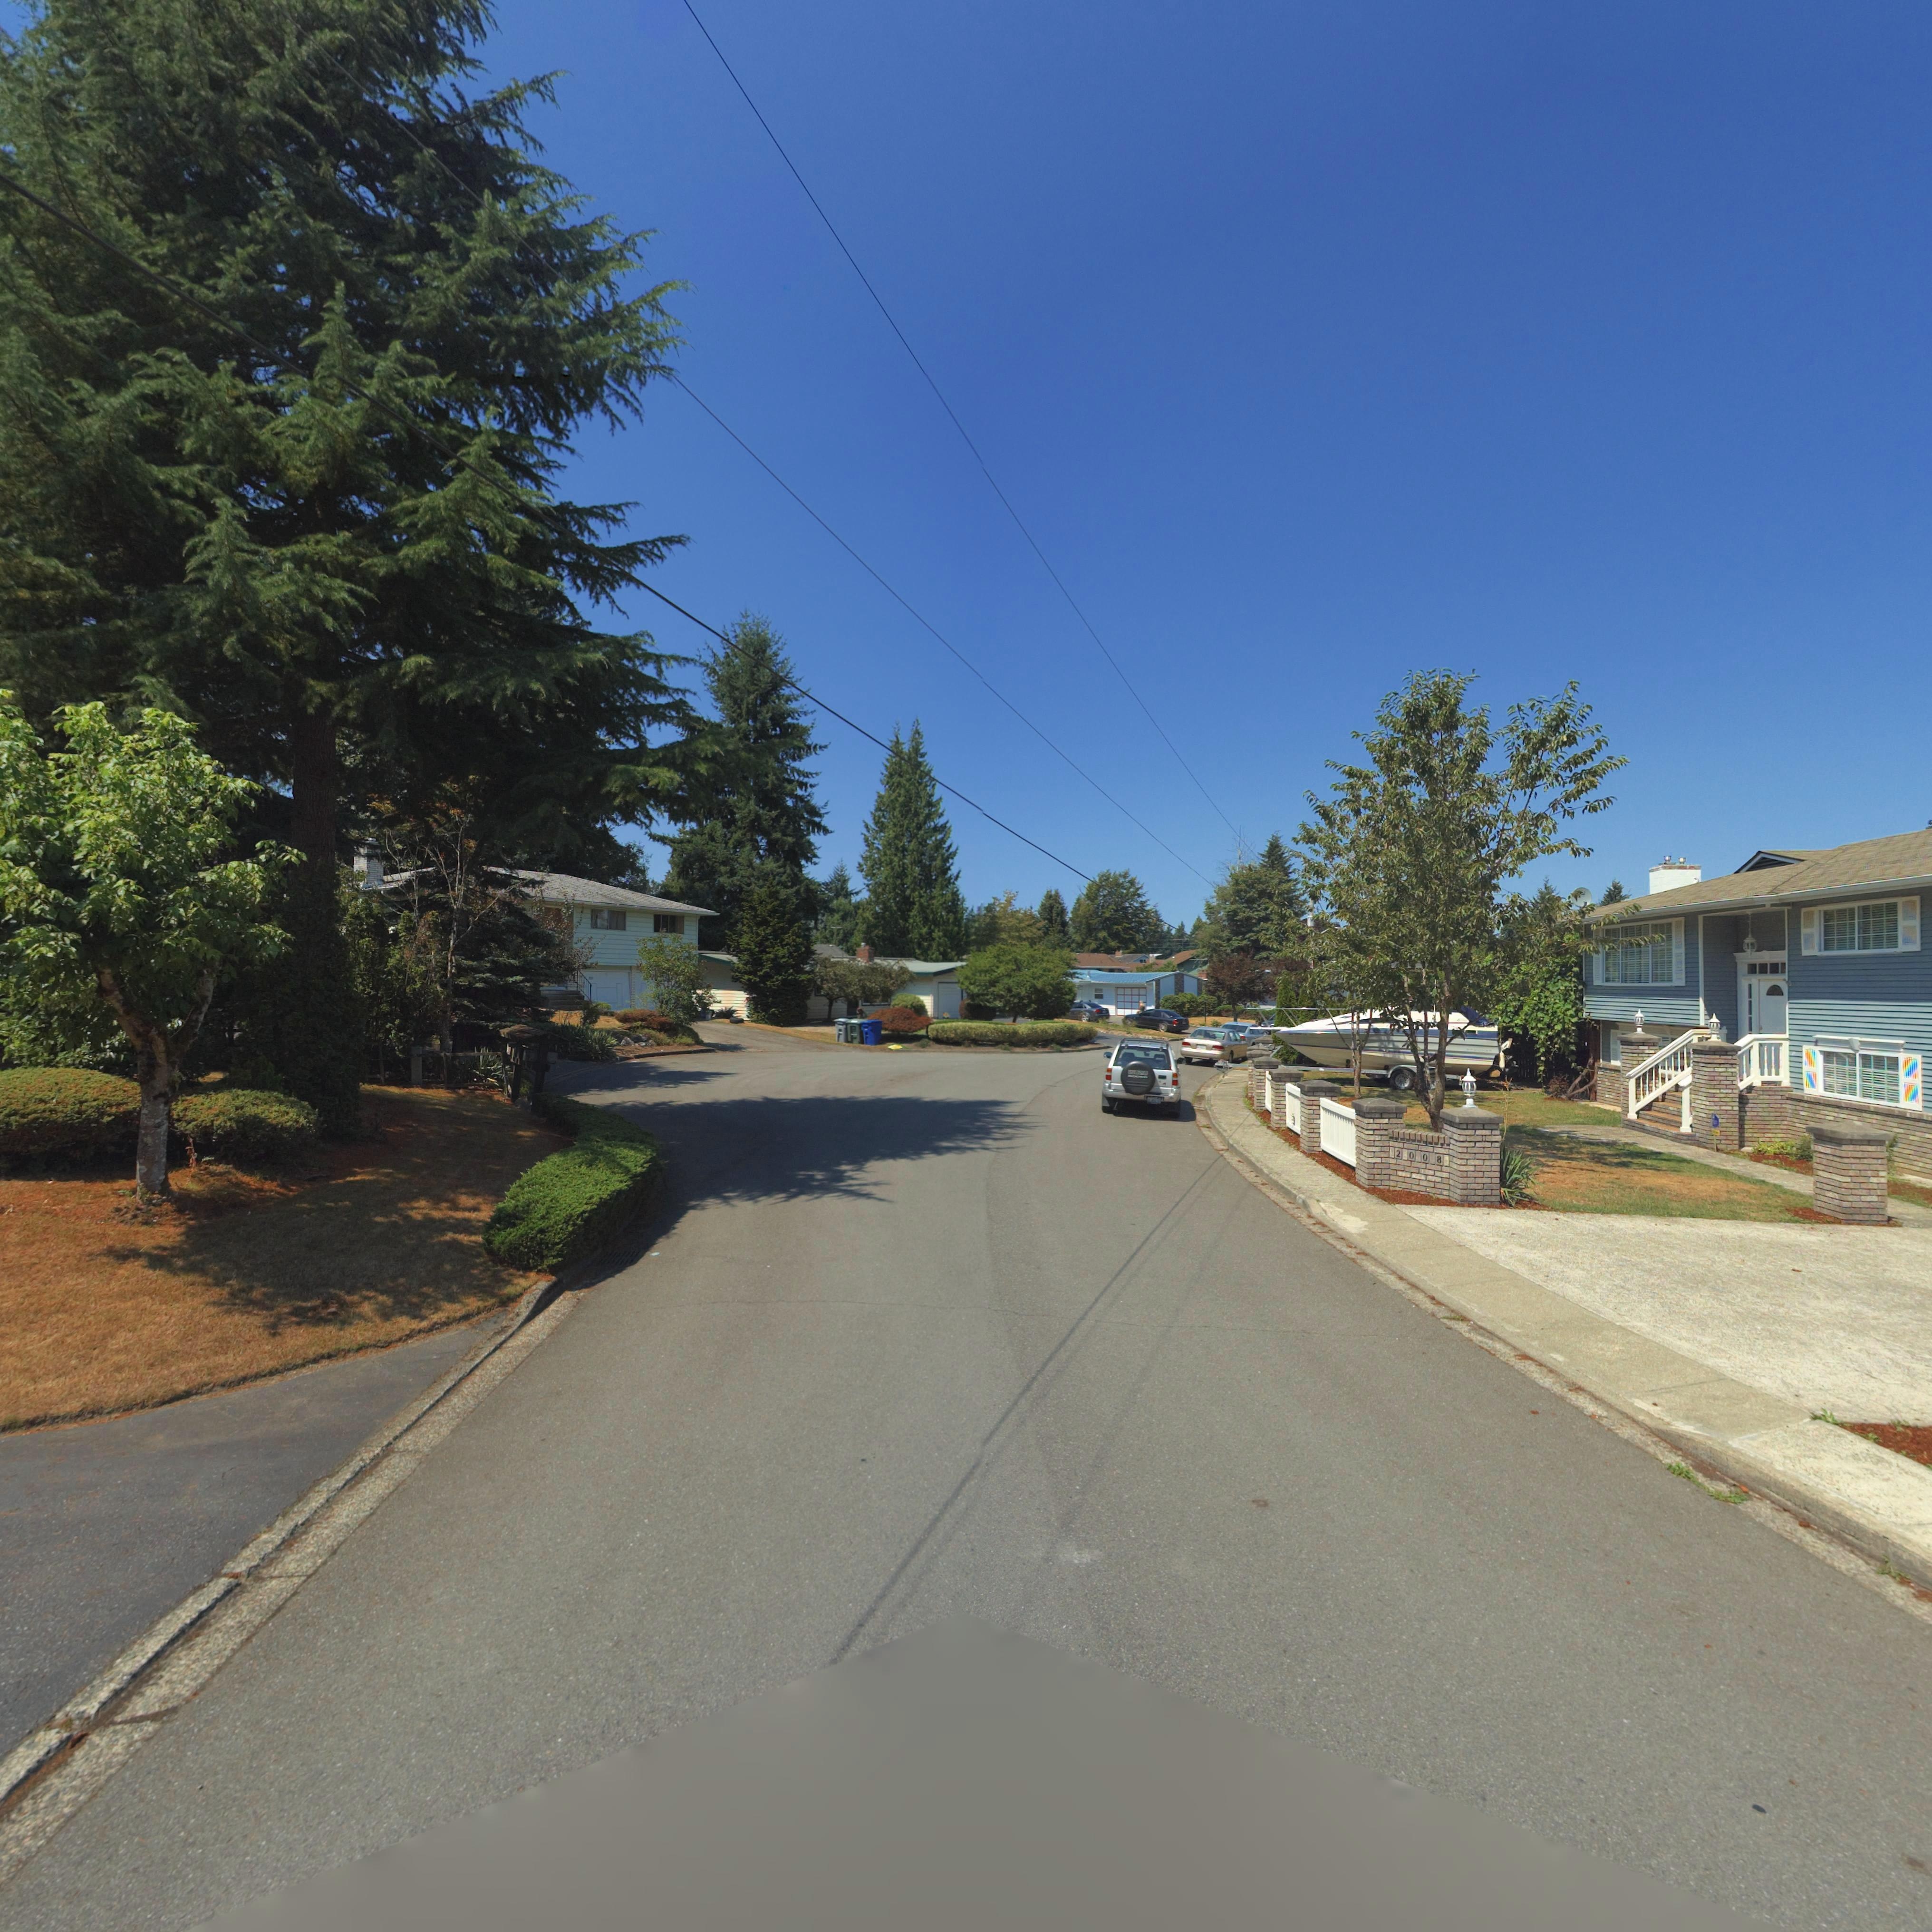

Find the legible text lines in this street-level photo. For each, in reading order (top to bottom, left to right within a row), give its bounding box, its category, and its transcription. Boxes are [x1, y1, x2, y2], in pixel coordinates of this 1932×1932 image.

[1395, 1149, 1442, 1164] StreetNumber: 2008